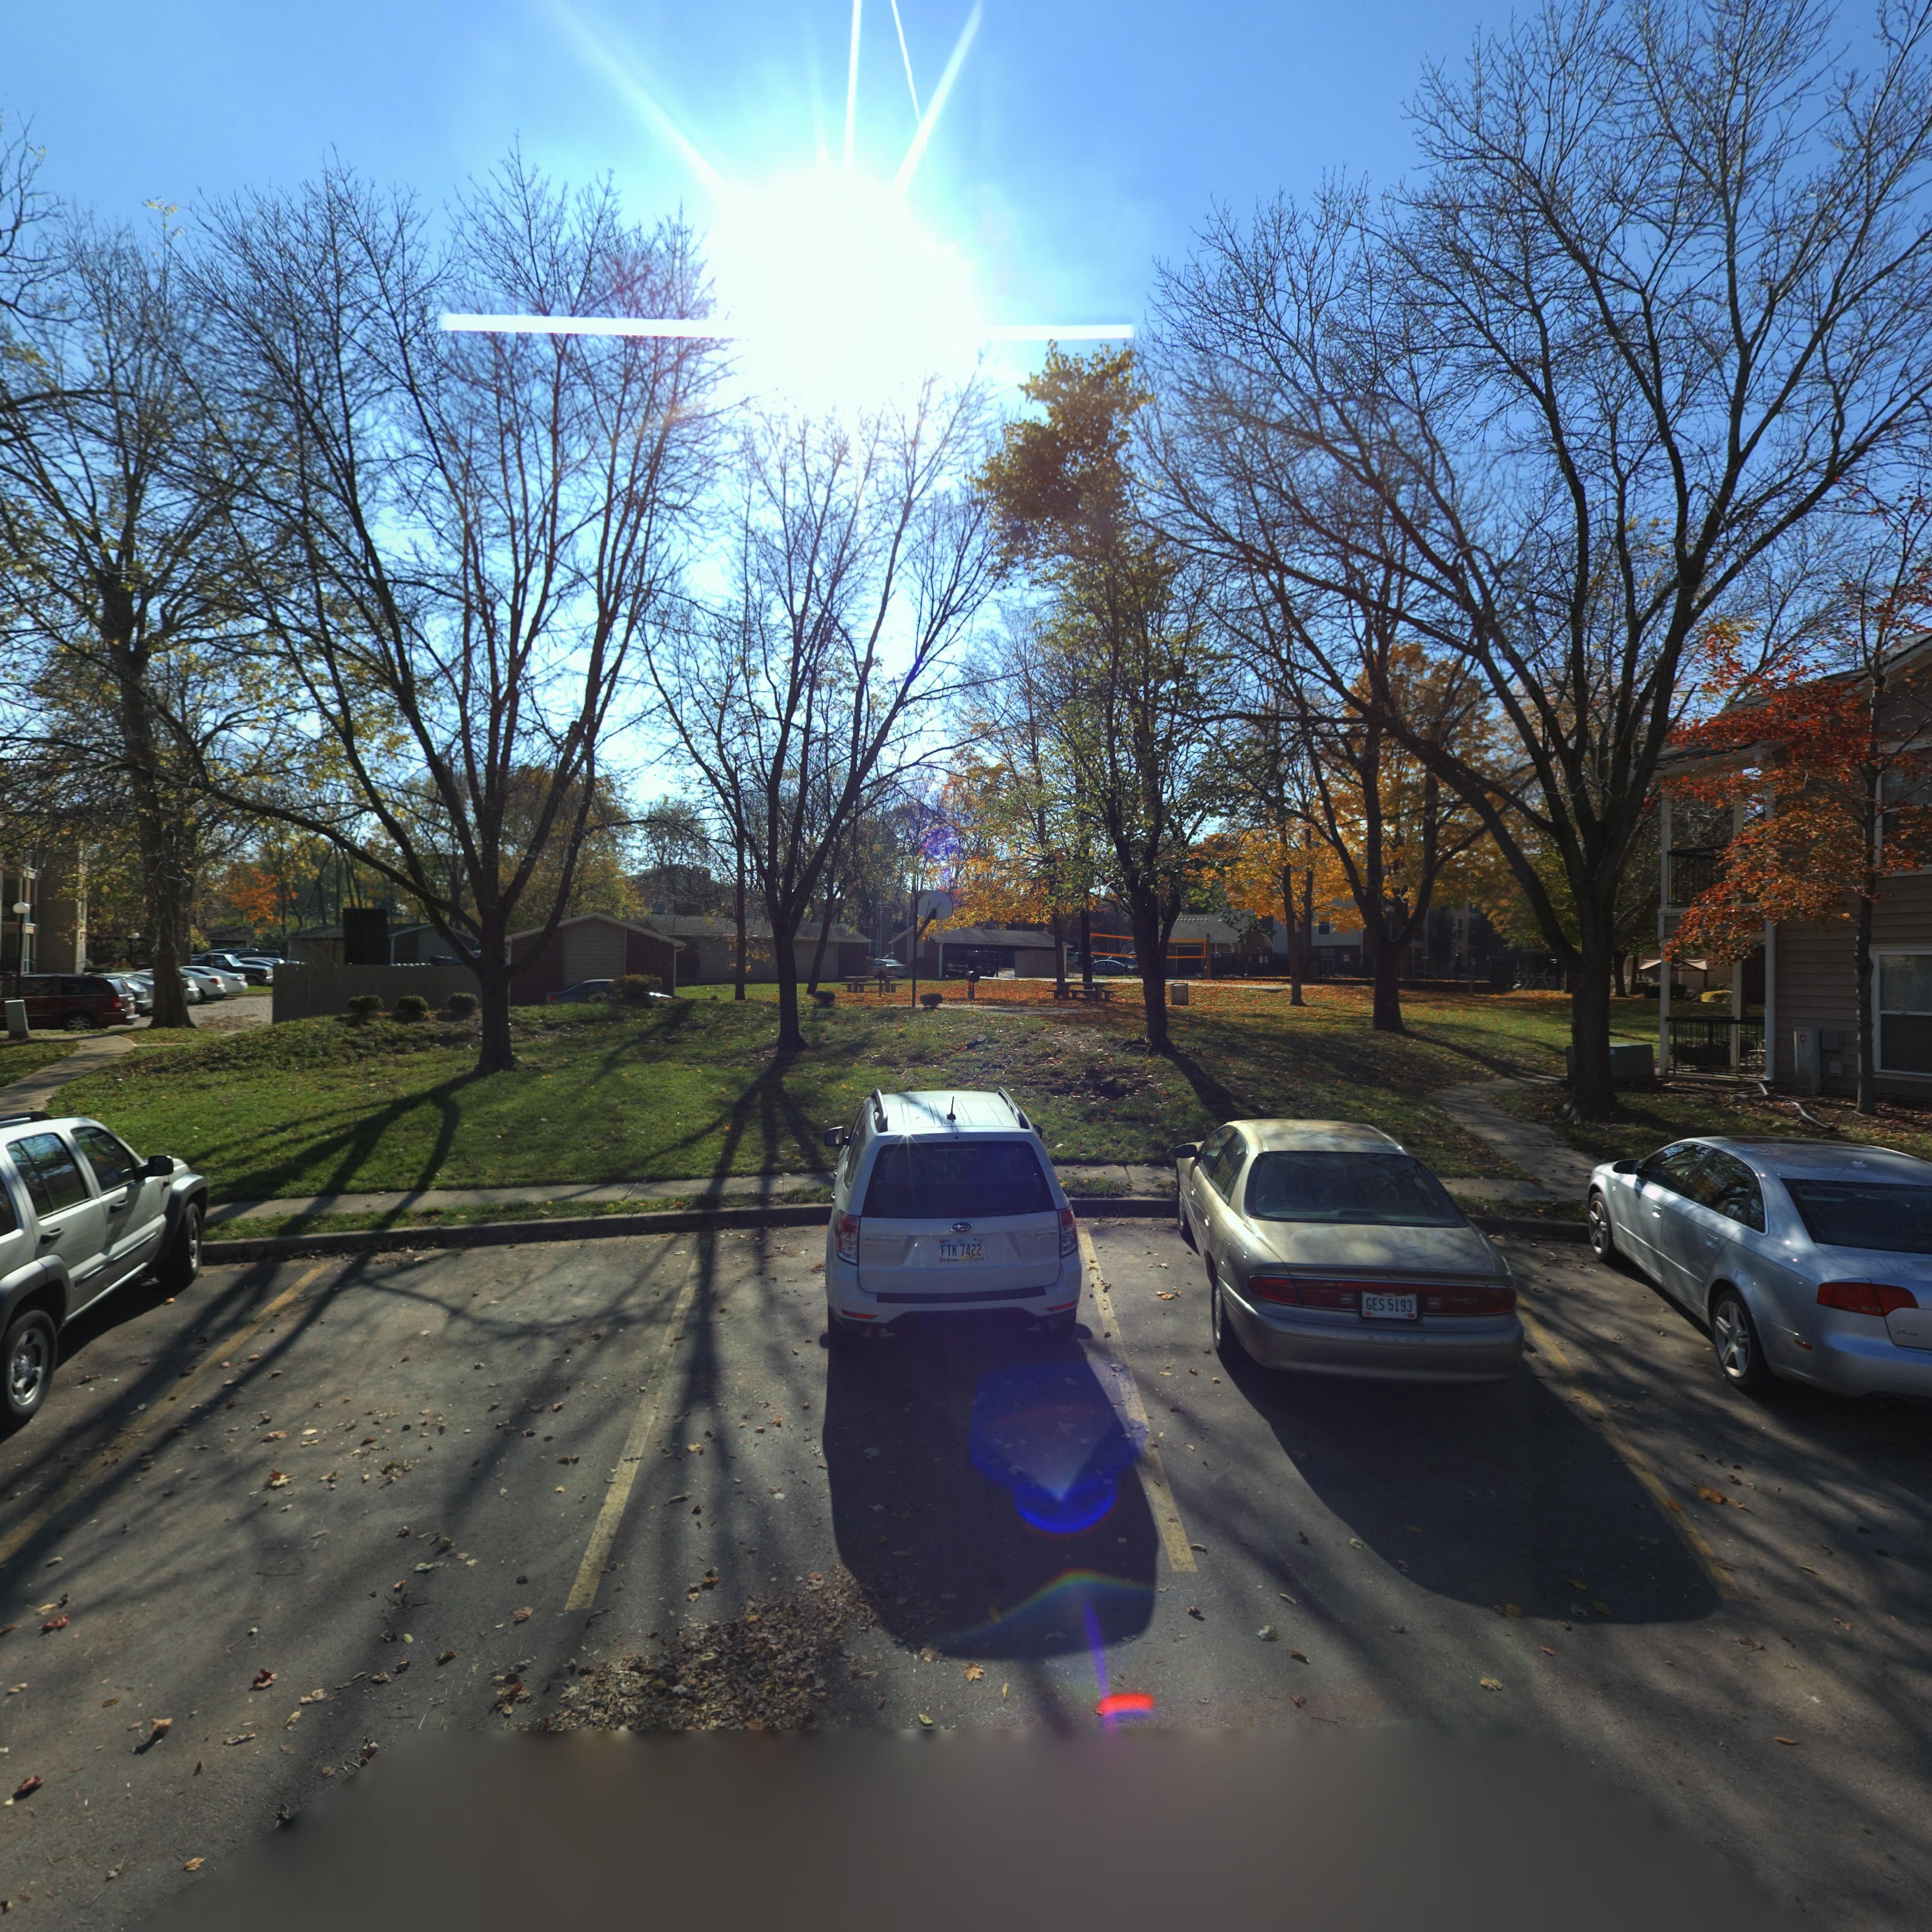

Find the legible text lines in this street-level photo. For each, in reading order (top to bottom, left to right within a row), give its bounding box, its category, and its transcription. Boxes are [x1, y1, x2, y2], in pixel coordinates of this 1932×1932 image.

[939, 1242, 984, 1258] None: FTK 7422
[1365, 1295, 1414, 1314] None: GES 5193
[1894, 1325, 1919, 1338] None: A4